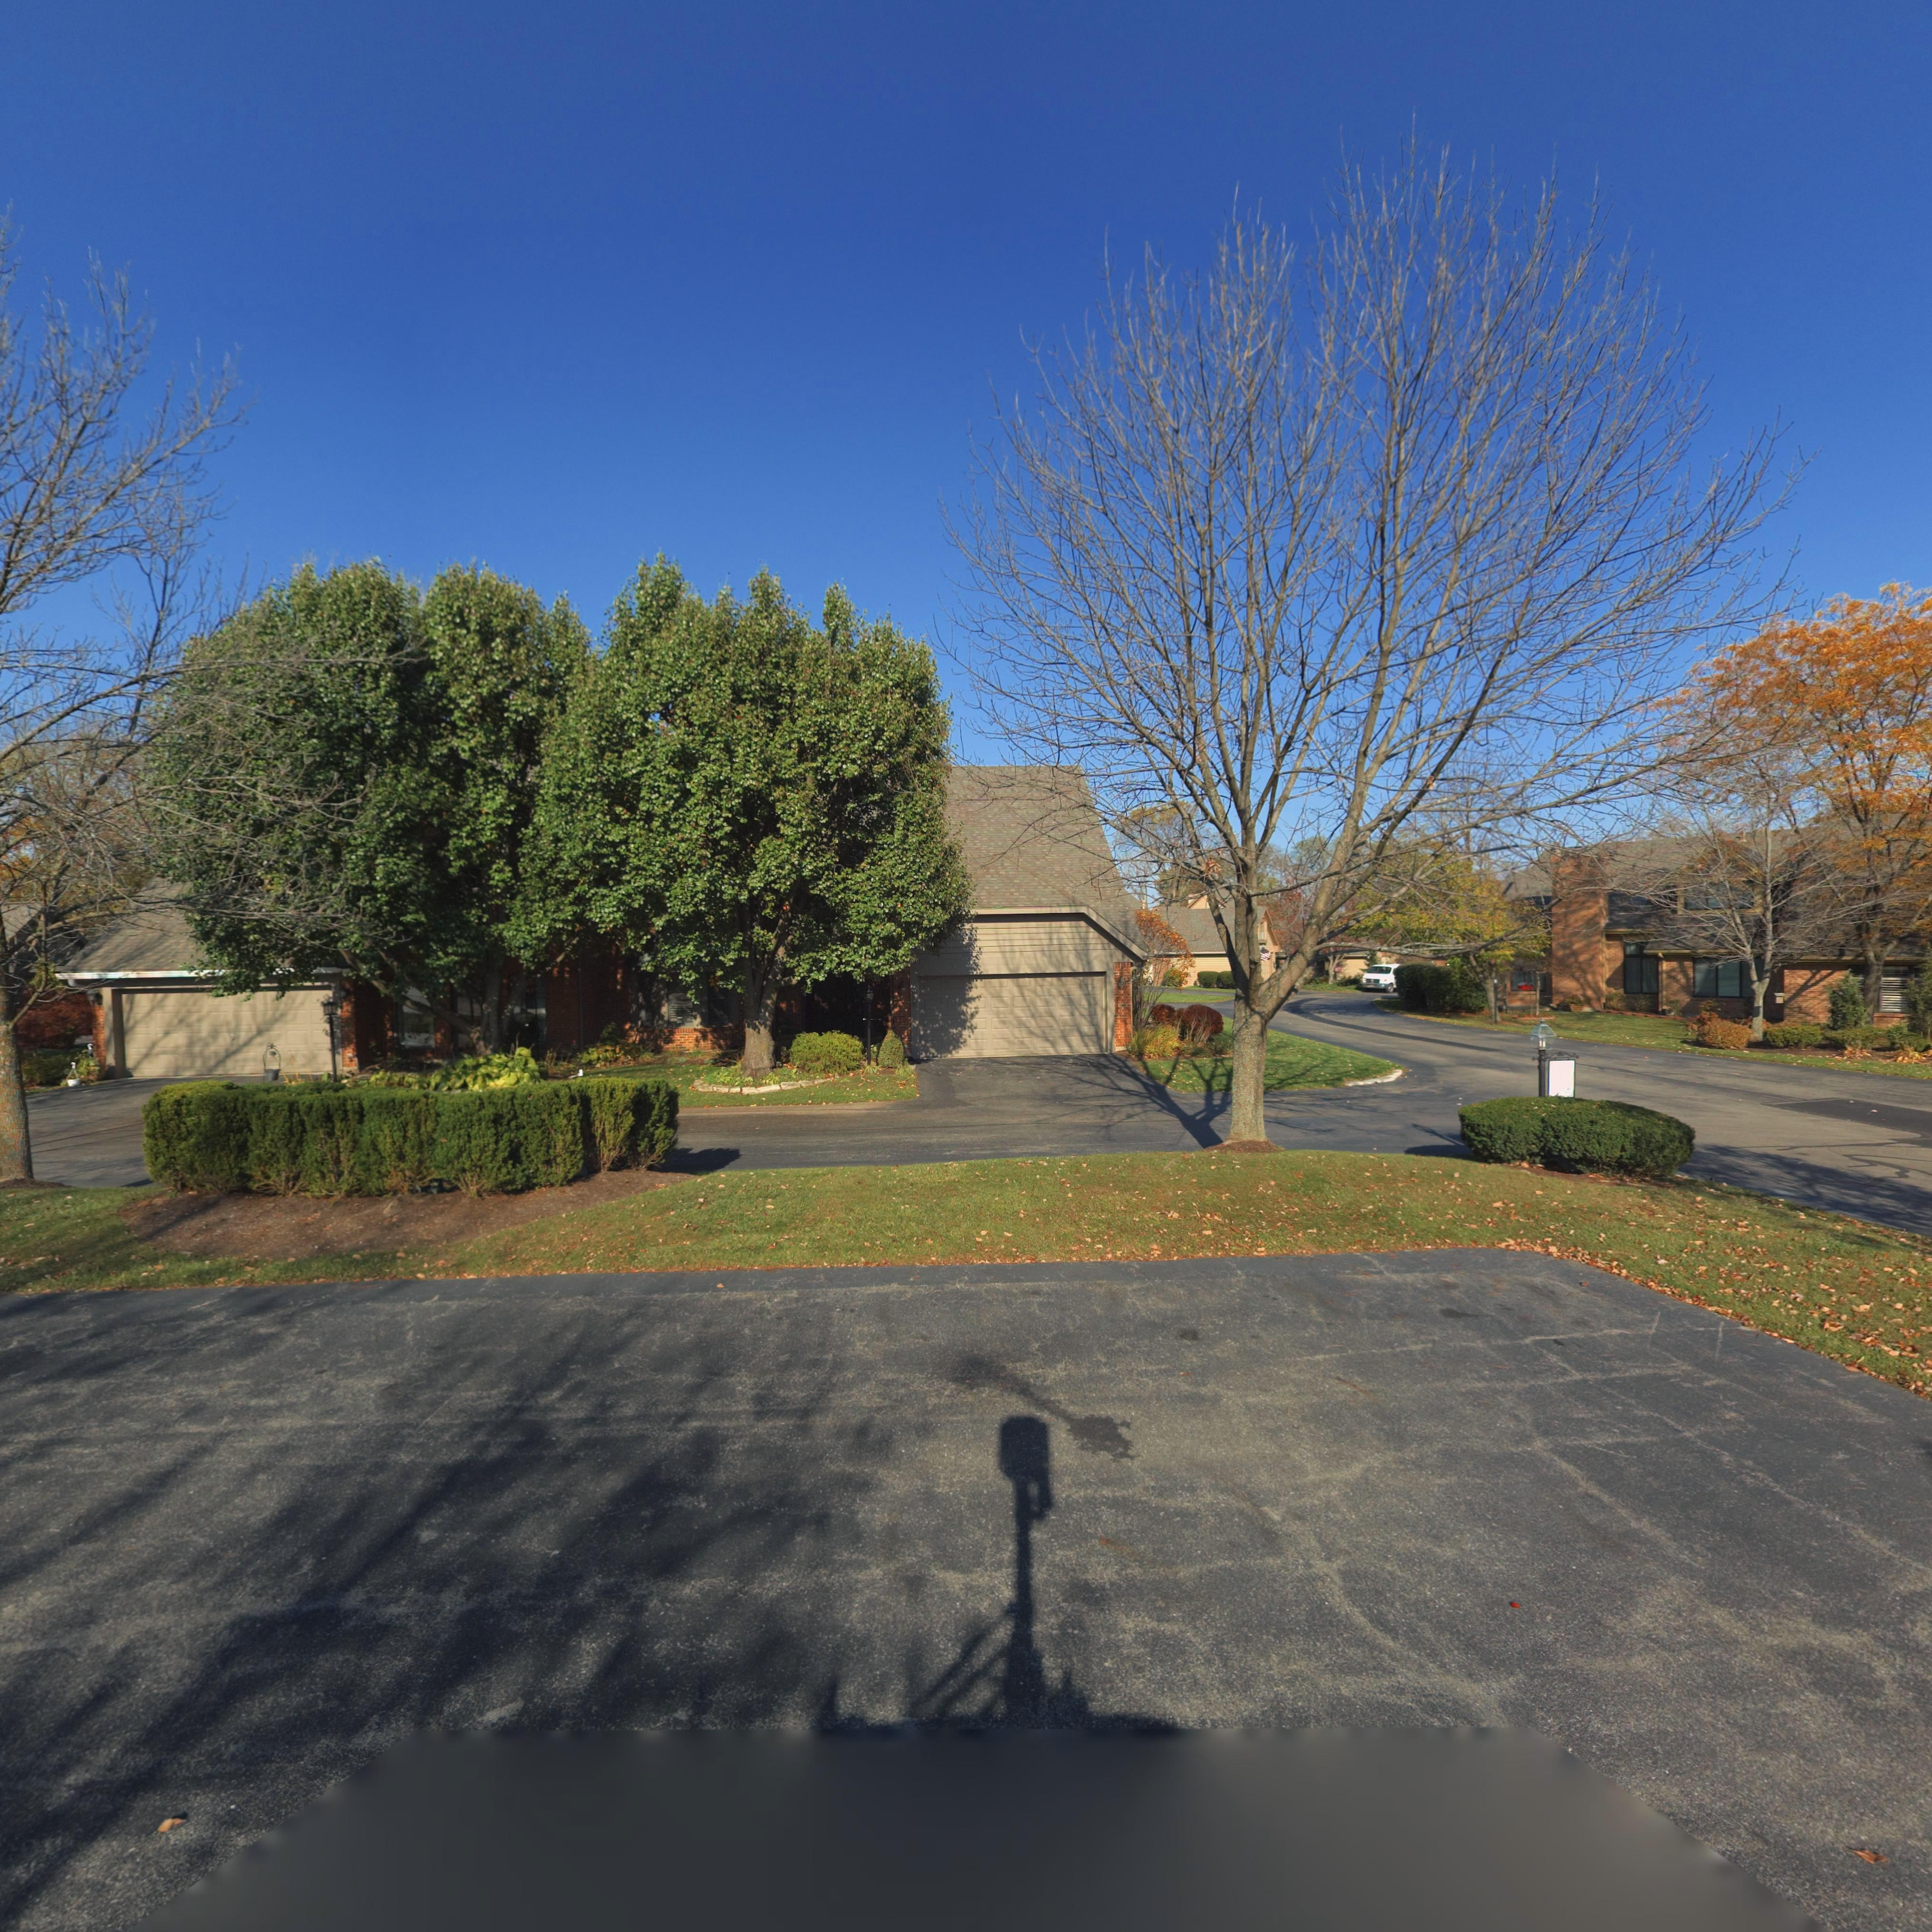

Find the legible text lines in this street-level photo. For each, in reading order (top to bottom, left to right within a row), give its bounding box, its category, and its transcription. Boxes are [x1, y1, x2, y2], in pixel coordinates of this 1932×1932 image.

[910, 990, 917, 1008] StreetNumber: **5